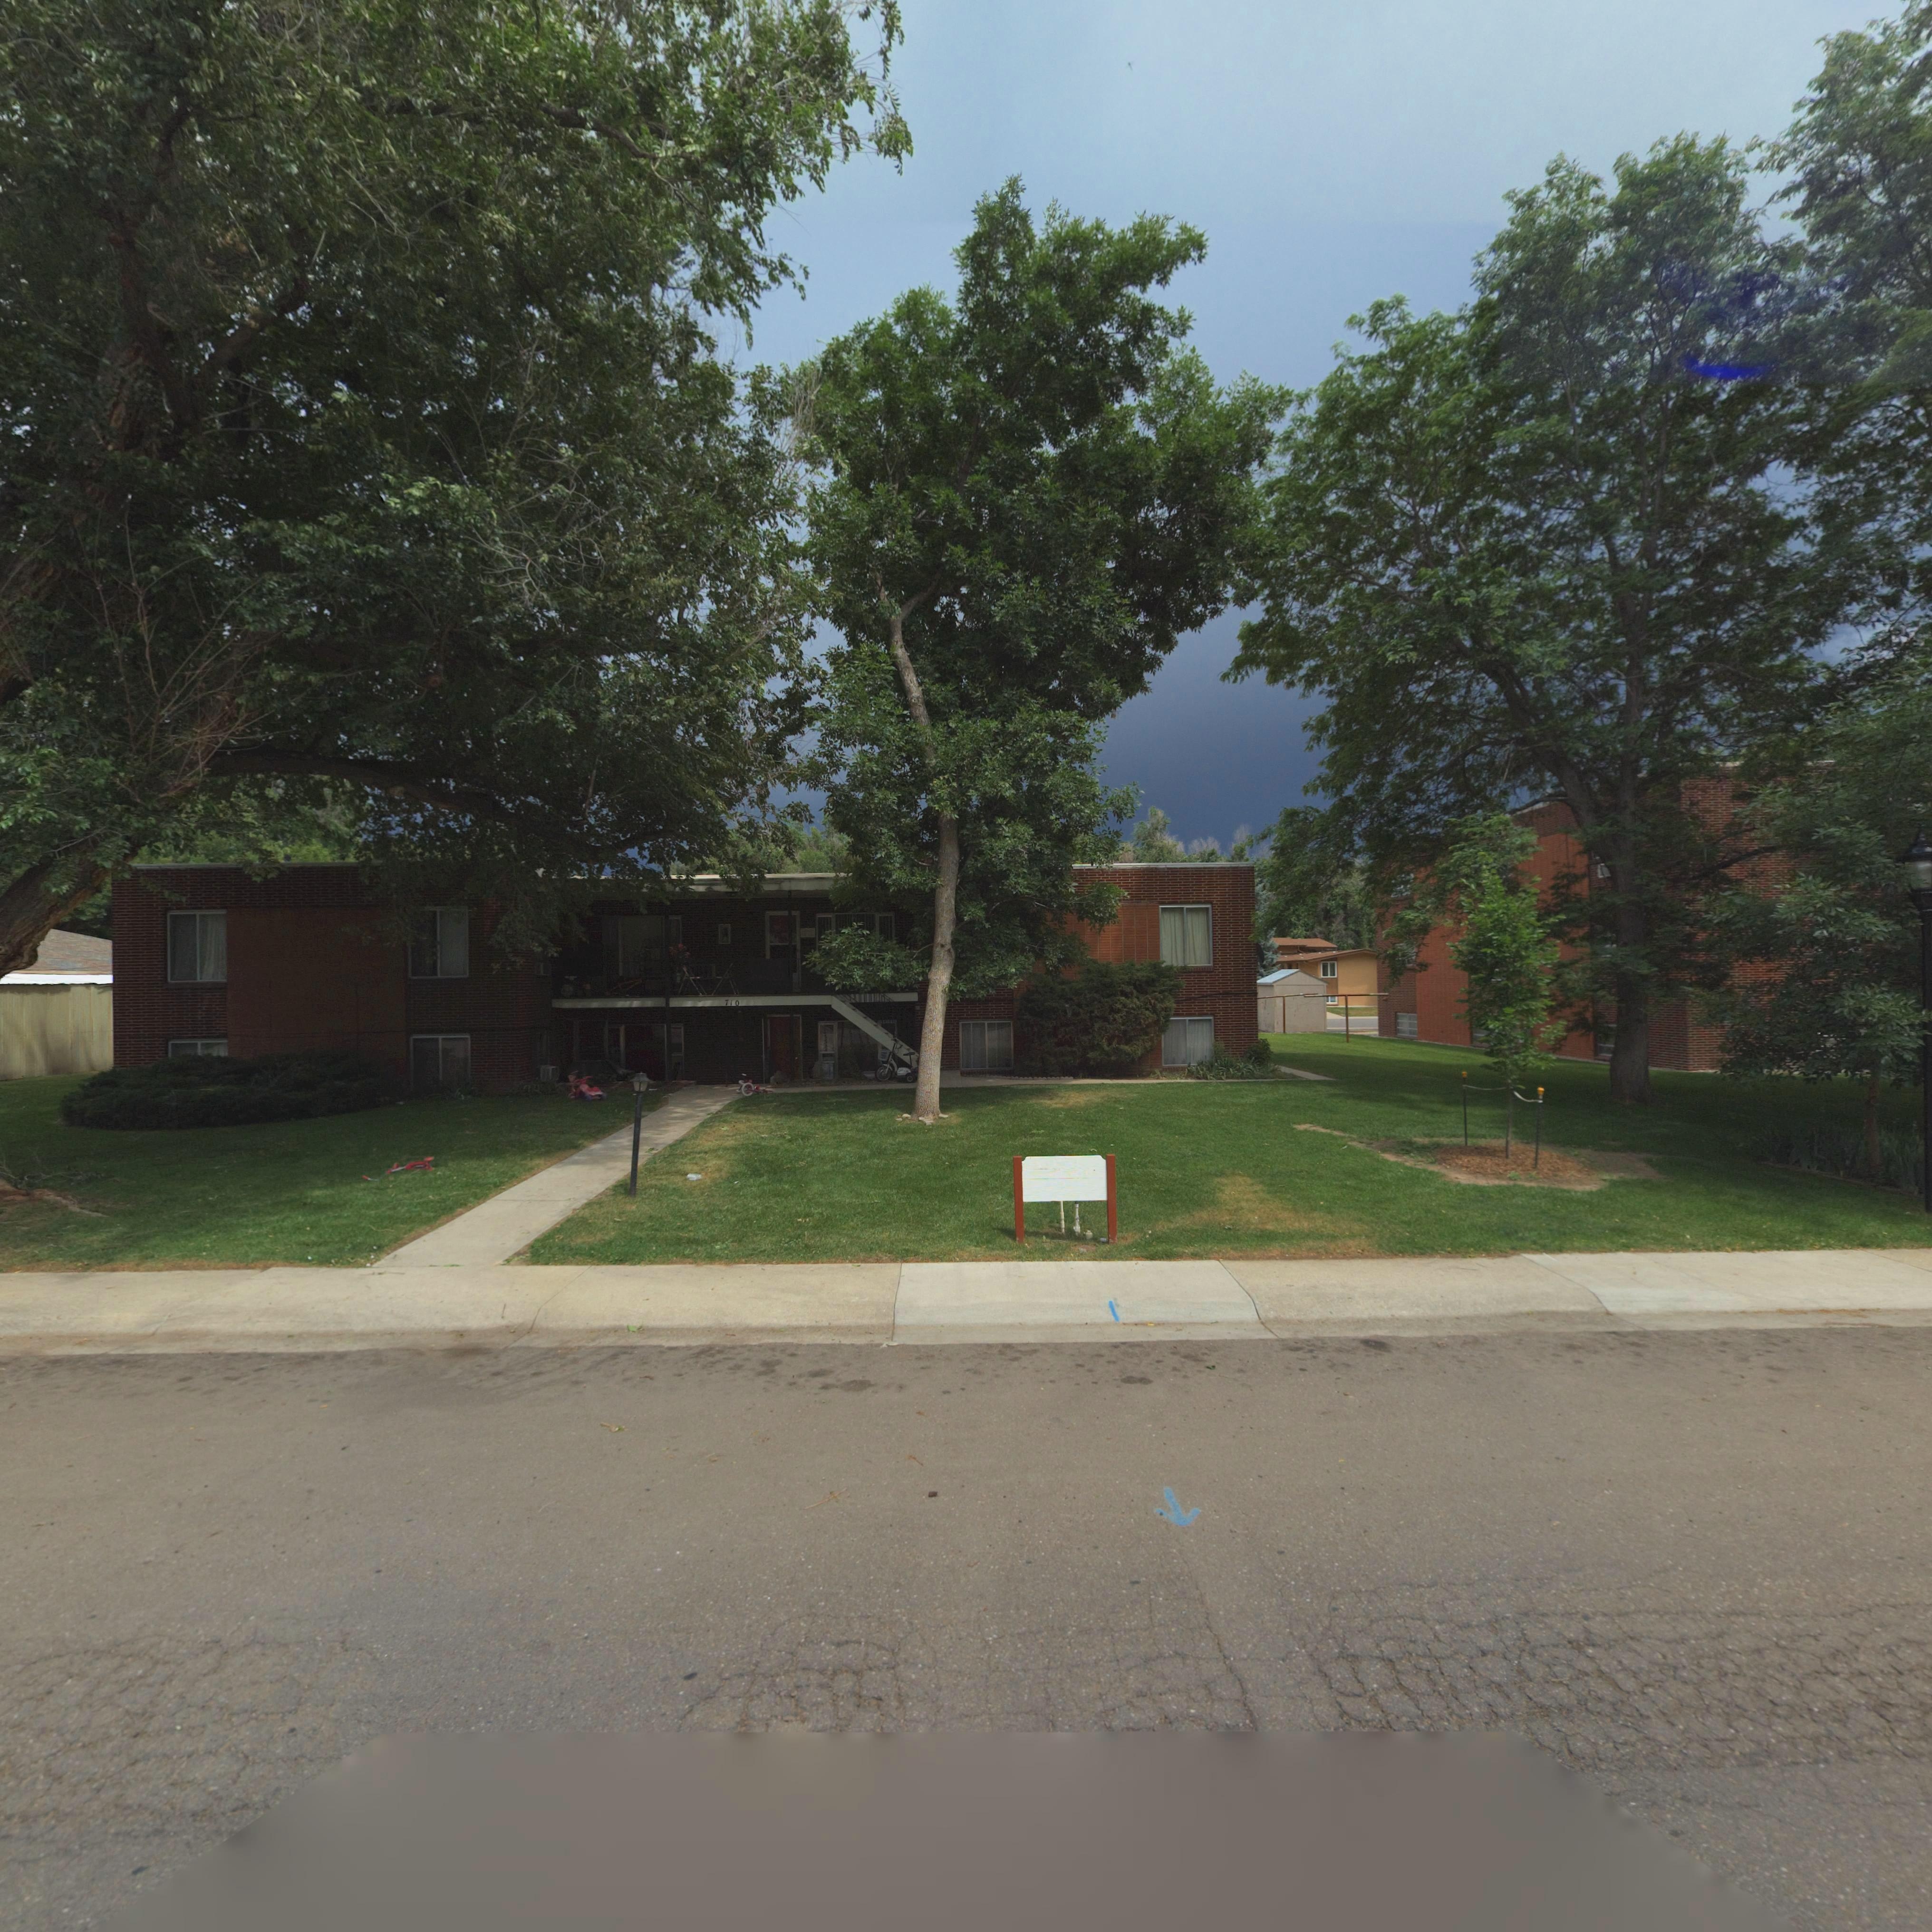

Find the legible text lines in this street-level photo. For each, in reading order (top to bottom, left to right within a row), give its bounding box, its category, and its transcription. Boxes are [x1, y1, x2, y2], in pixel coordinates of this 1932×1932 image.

[724, 999, 740, 1006] StreetNumber: 710